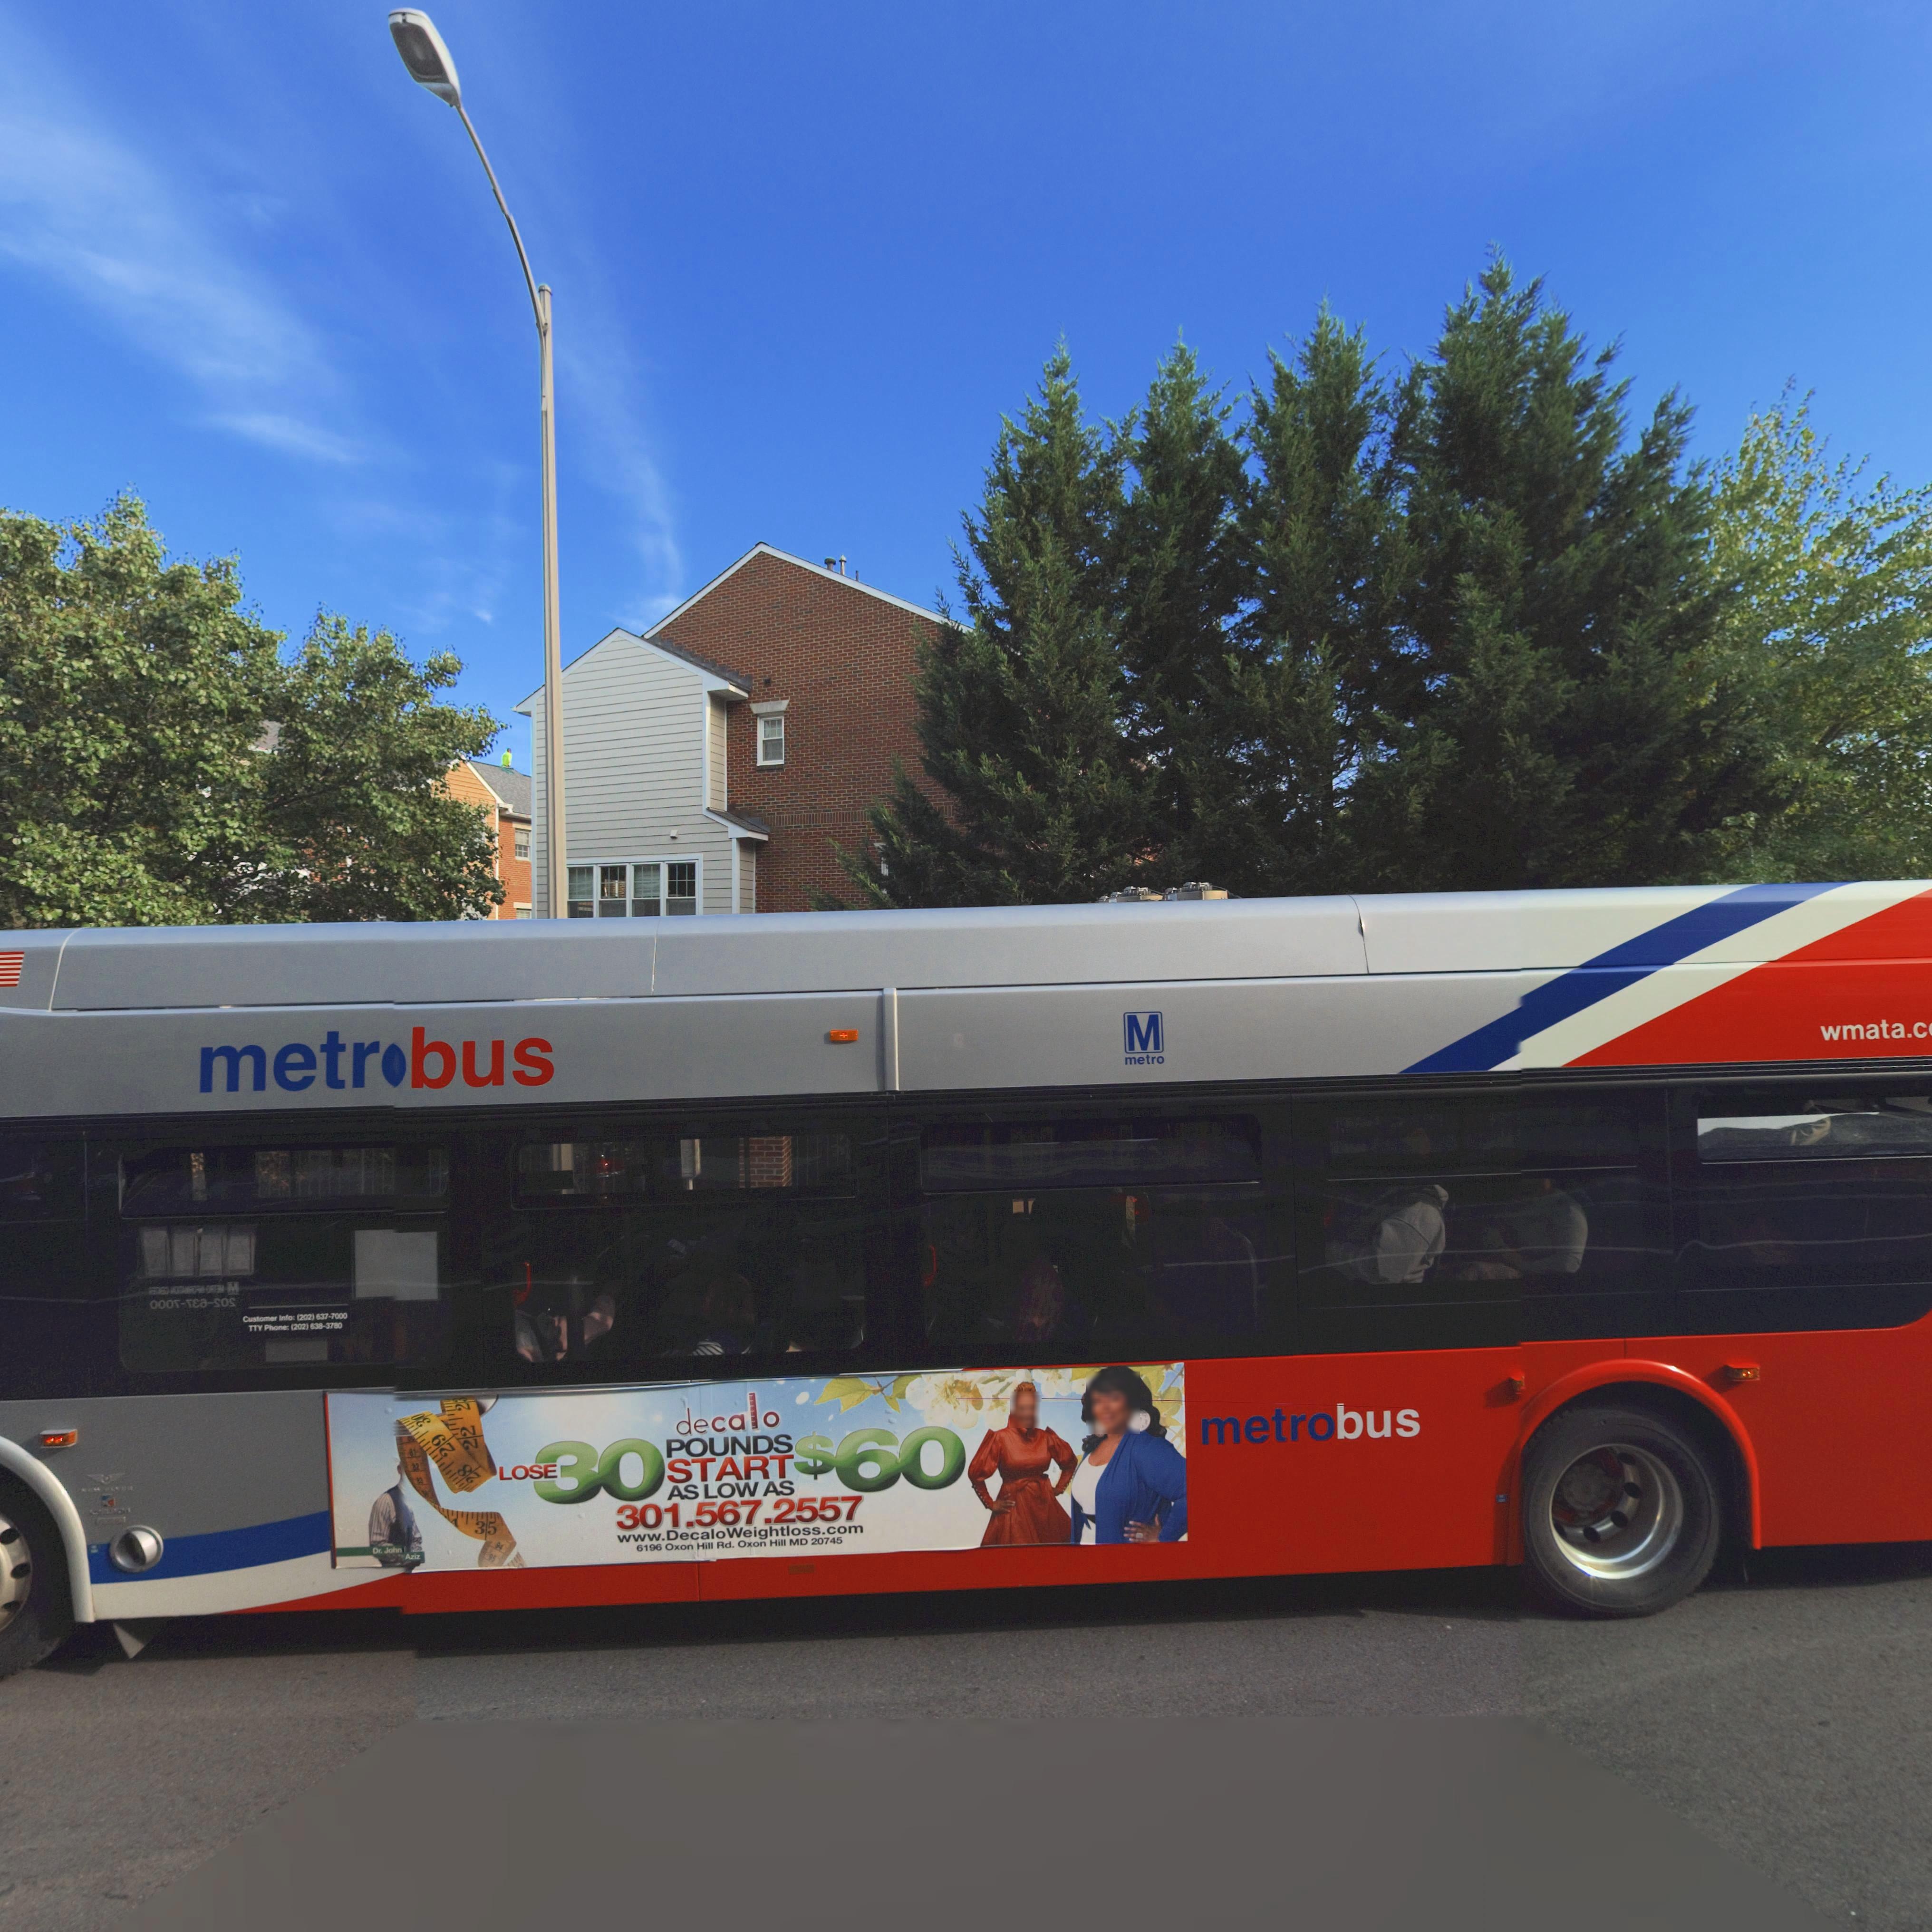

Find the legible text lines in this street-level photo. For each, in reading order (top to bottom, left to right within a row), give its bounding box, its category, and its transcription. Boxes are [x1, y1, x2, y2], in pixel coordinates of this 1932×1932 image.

[1125, 1013, 1161, 1053] None: M
[1818, 1017, 1930, 1043] None: wmata.c
[195, 1022, 558, 1098] None: metr*bus
[1123, 1053, 1166, 1067] None: metro
[148, 1296, 238, 1311] None: 000*-***-*0*
[241, 1311, 349, 1324] None: Customer Info: (202) 637-7000
[246, 1321, 345, 1333] None: TTY Phone: (202) 638-3780
[409, 1412, 432, 1429] None: 0*
[674, 1391, 782, 1438] None: decalo
[1199, 1401, 1423, 1449] None: metrobus
[665, 1432, 795, 1459] None: POUNDS
[456, 1463, 483, 1486] None: 8*
[498, 1462, 559, 1482] None: LOSE
[531, 1435, 668, 1507] None: 30
[665, 1452, 796, 1485] None: START
[833, 1423, 969, 1495] None: 60
[665, 1478, 797, 1503] None: AS LOW AS
[614, 1493, 865, 1534] None: 301.567.2557
[473, 1519, 499, 1537] None: 35
[614, 1523, 865, 1545] None: www.DecaloWeightloss.com
[635, 1535, 844, 1554] None: 6196 Oxon Hill Rd. Oxon Hill MD 20745